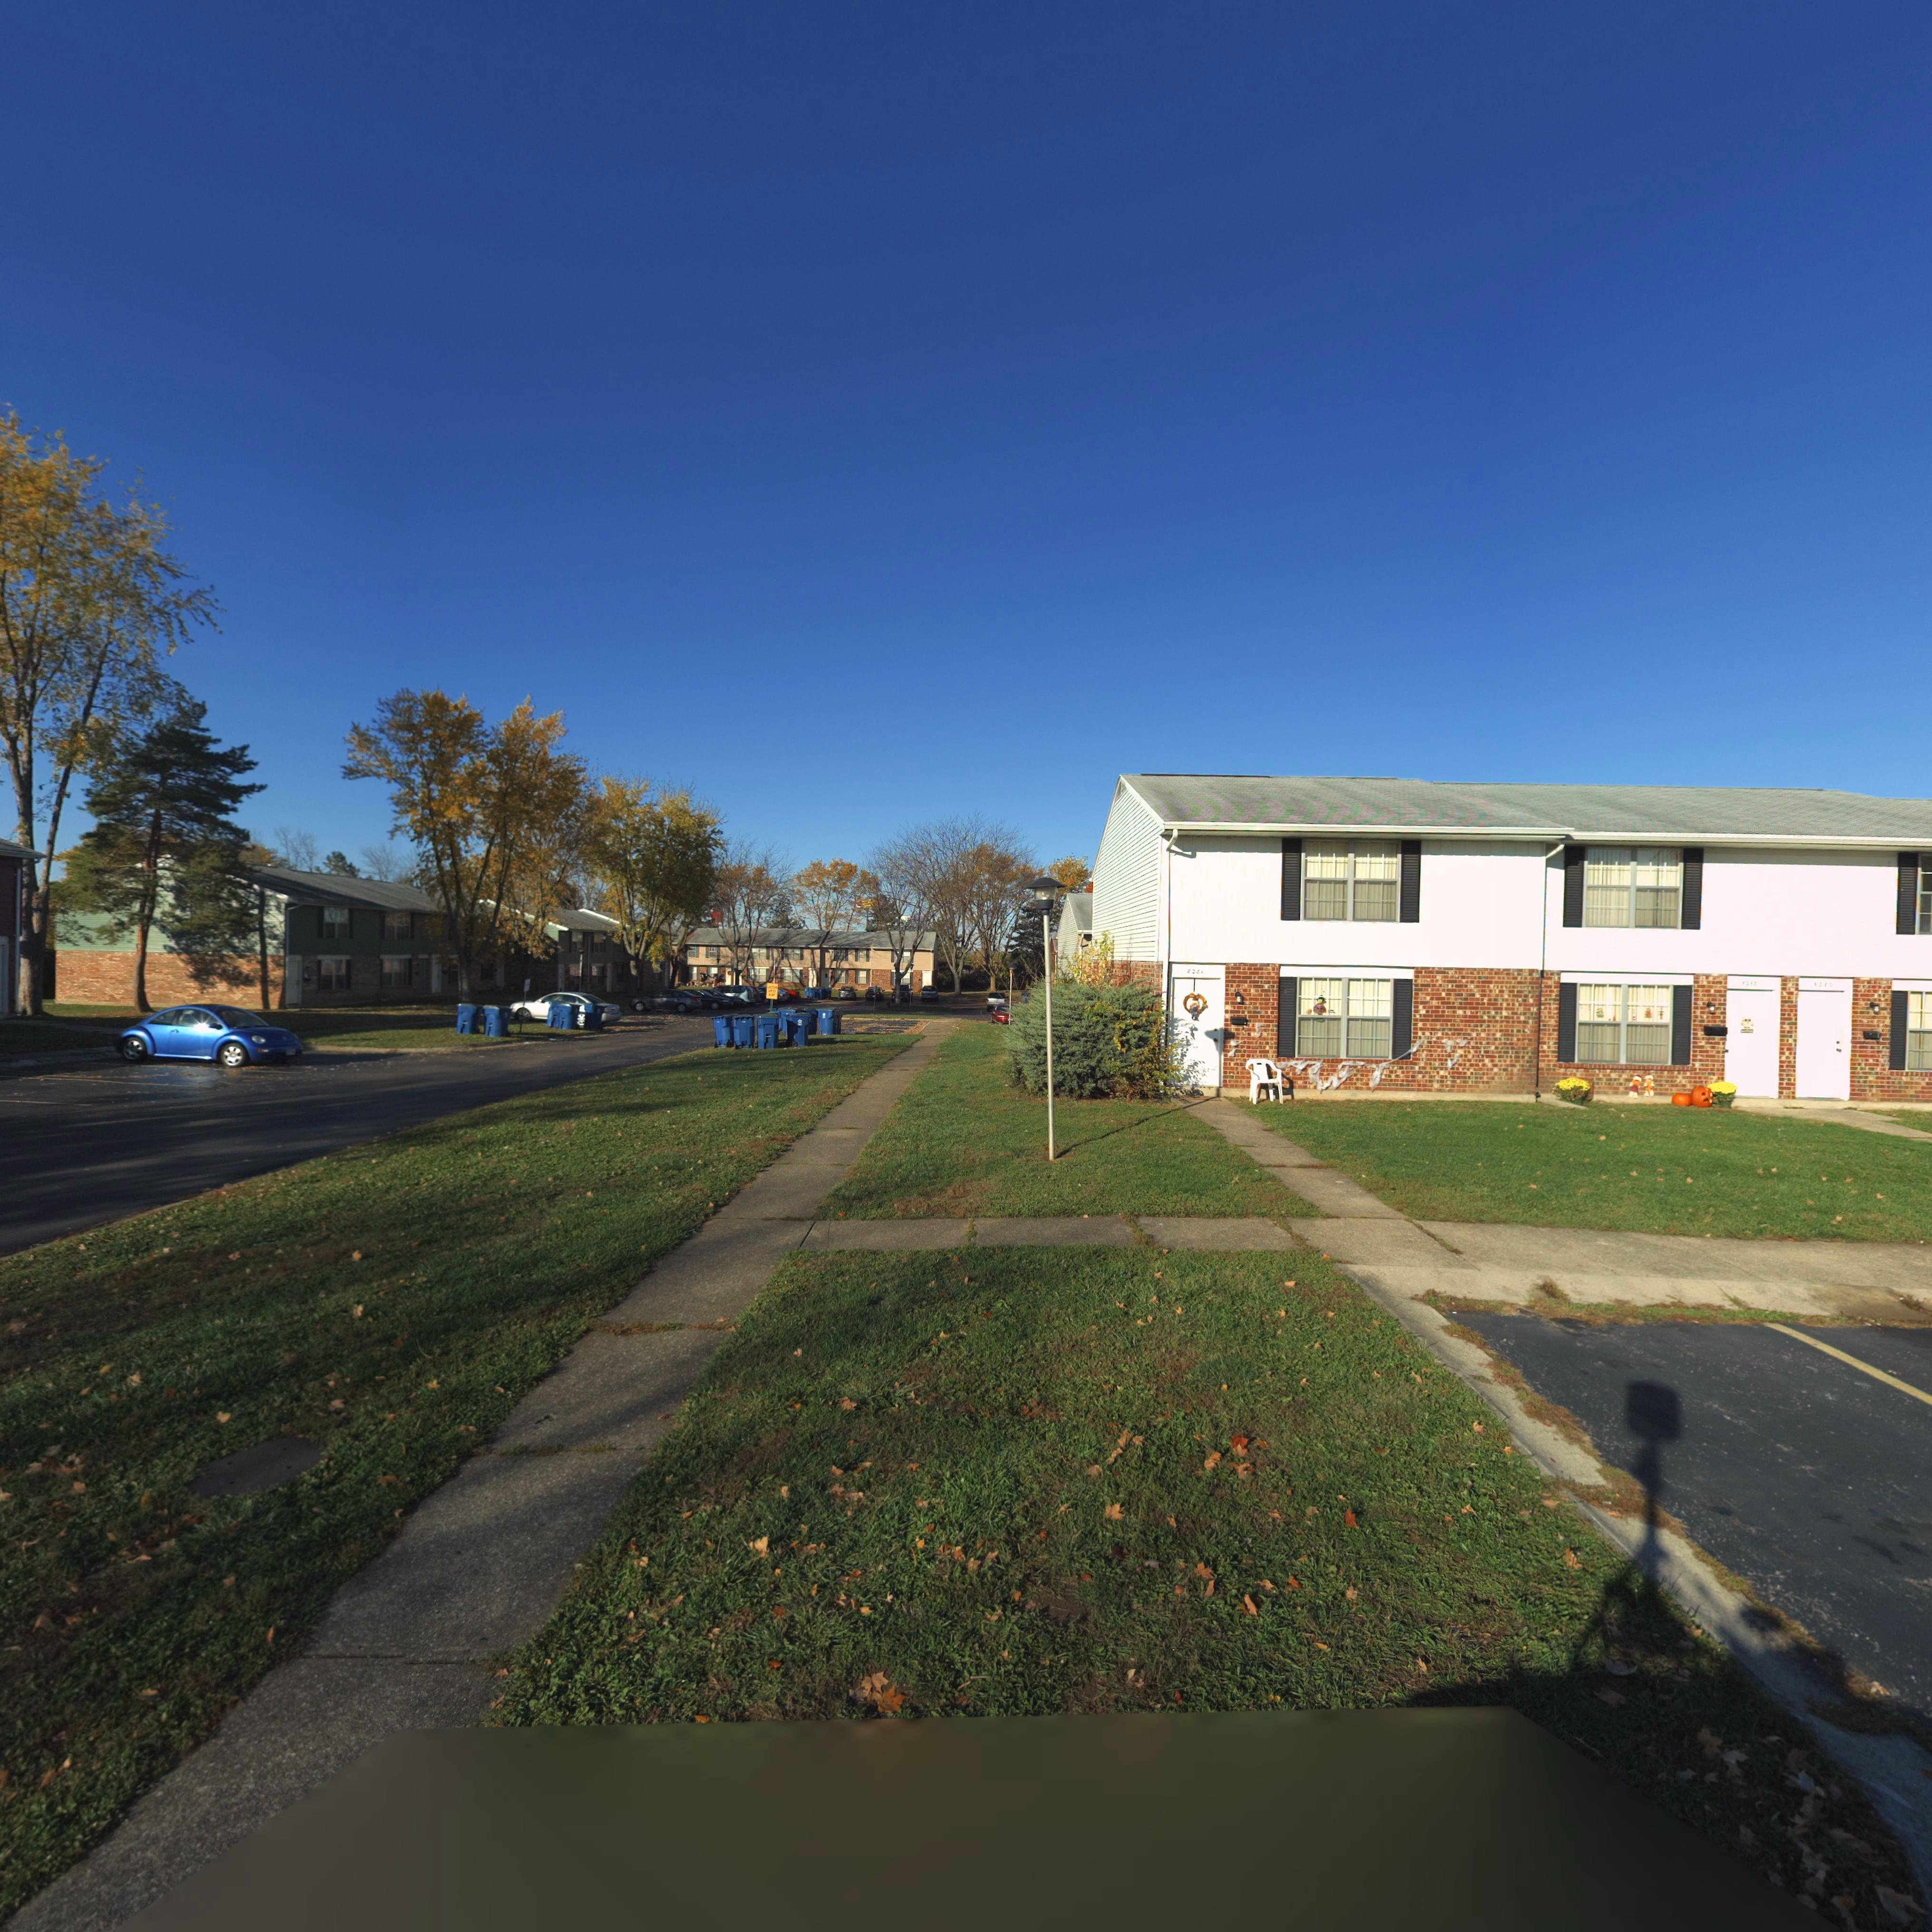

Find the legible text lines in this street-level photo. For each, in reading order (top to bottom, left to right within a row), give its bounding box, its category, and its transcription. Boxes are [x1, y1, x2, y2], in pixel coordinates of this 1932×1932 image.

[1187, 968, 1204, 974] StreetNumber: 8281
[1740, 980, 1757, 986] StreetNumber: 8283
[1813, 981, 1833, 987] StreetNumber: *28*